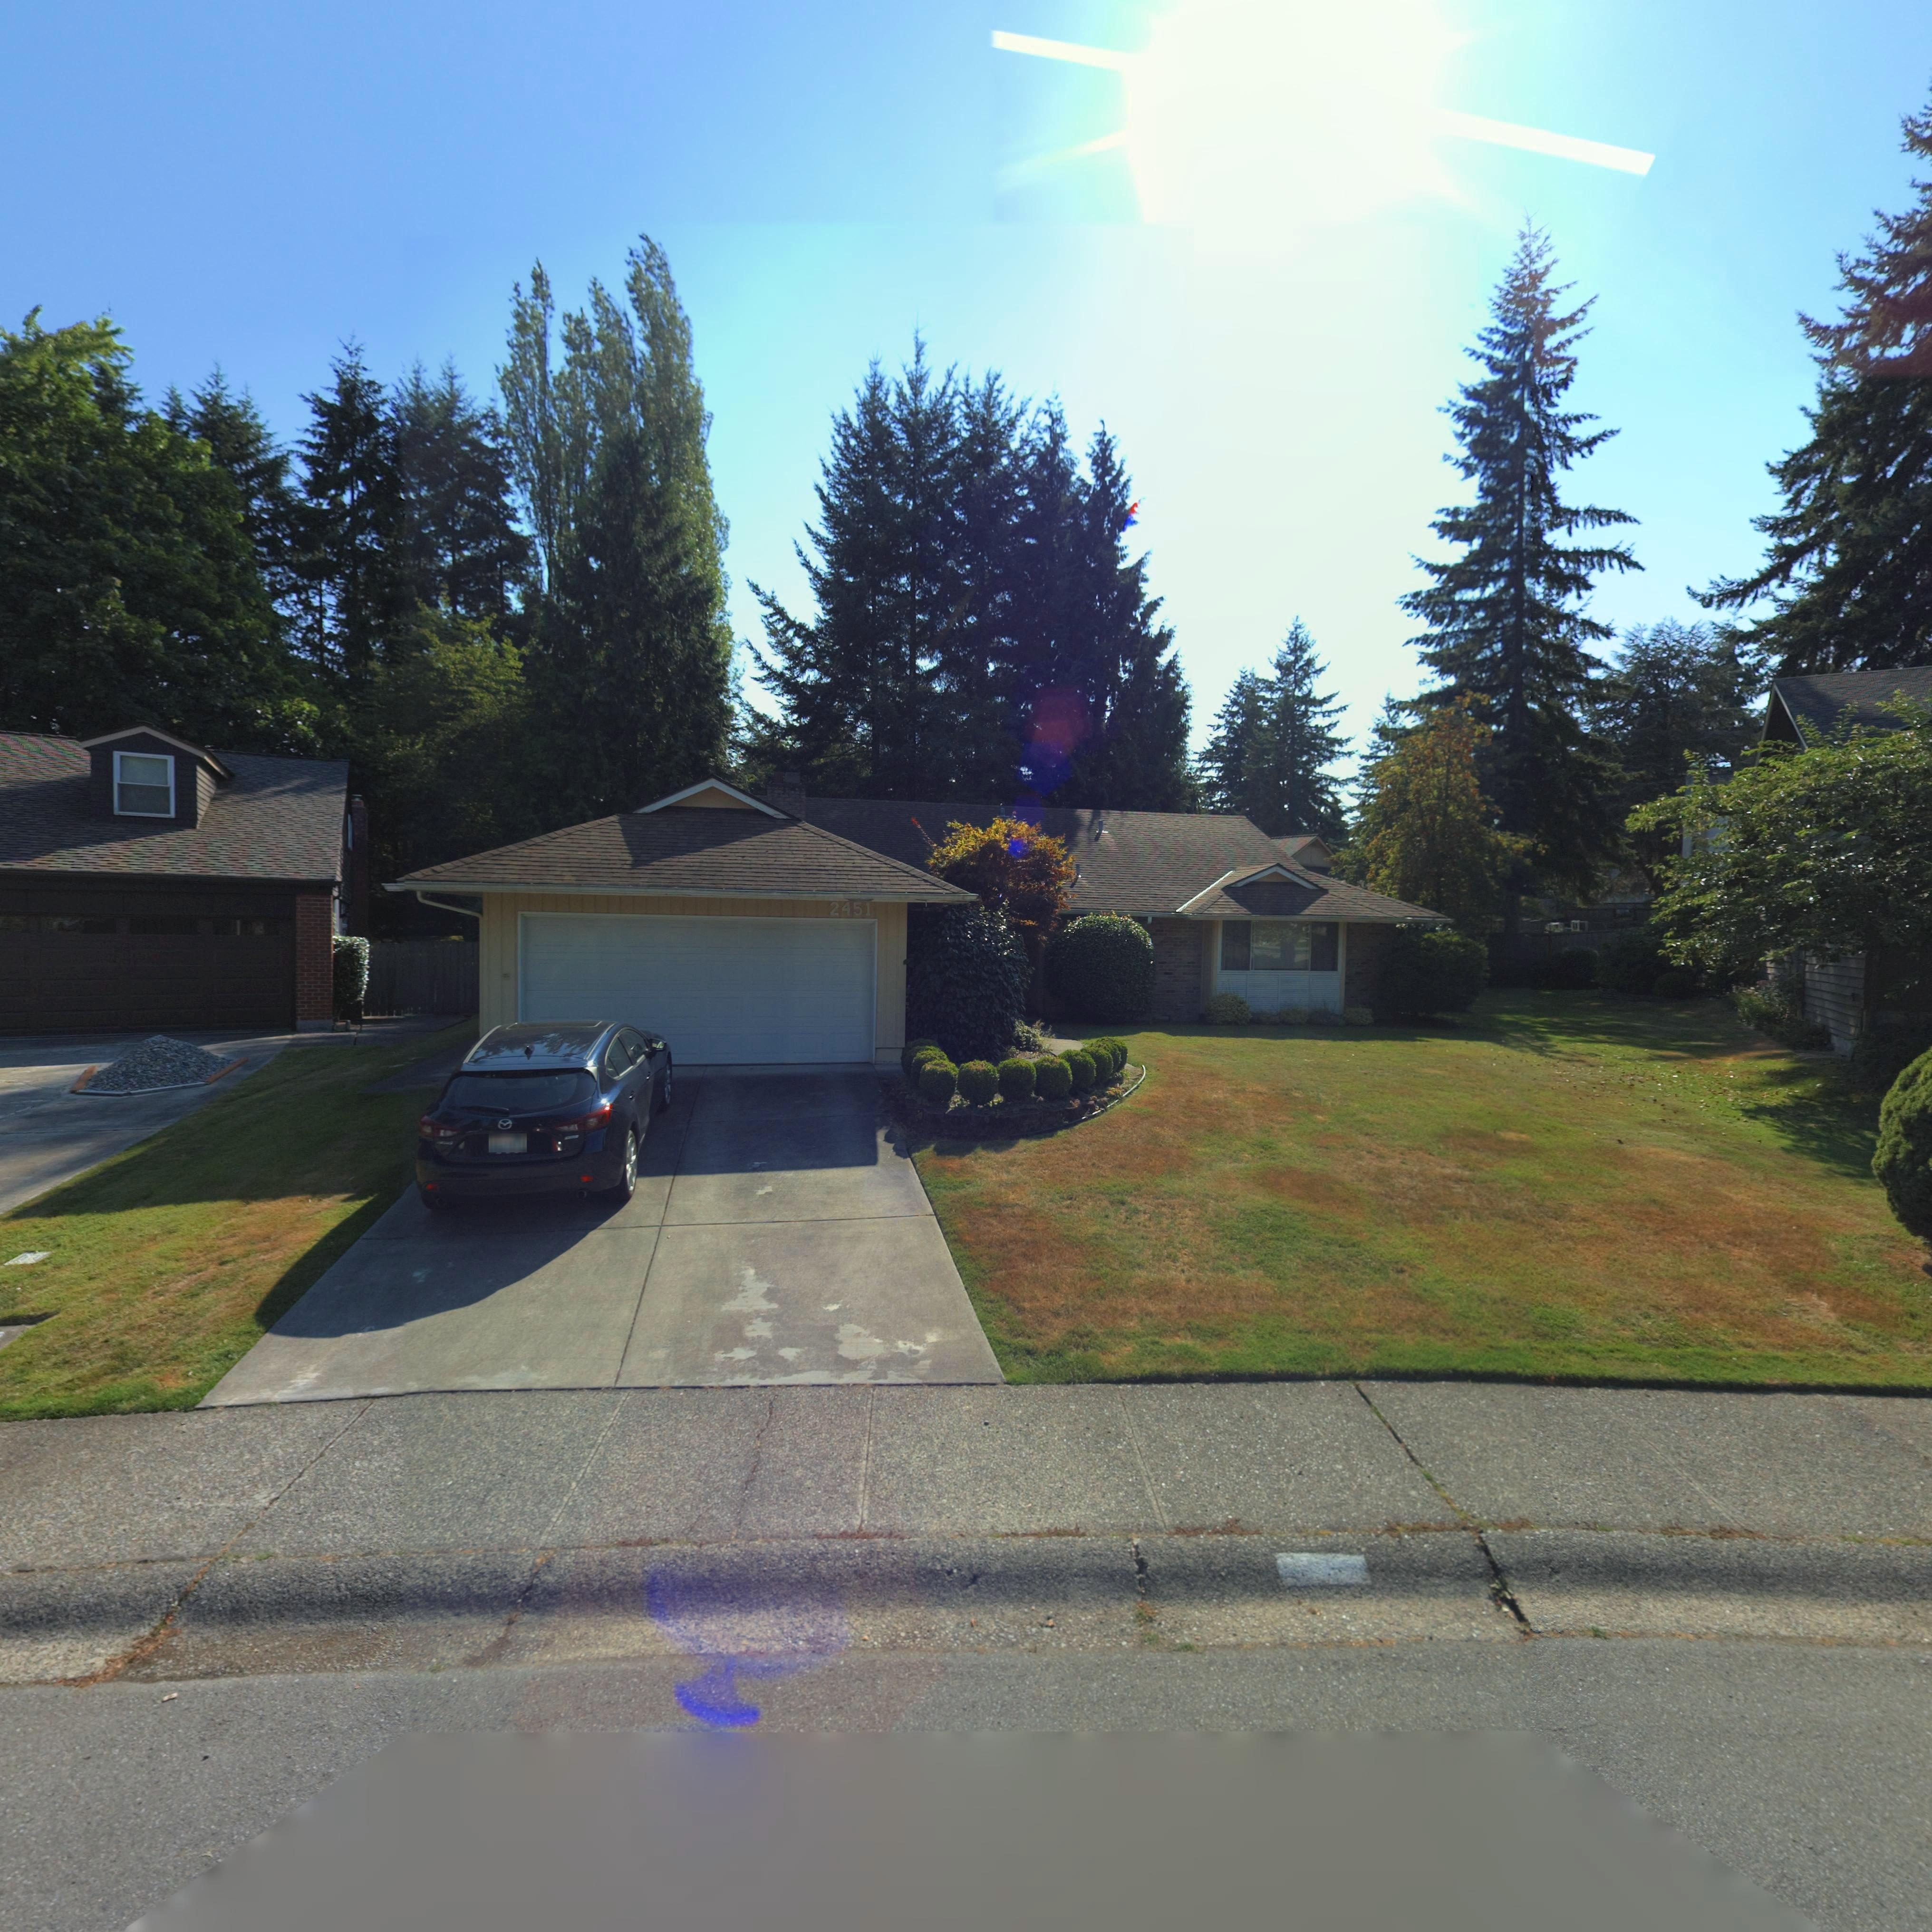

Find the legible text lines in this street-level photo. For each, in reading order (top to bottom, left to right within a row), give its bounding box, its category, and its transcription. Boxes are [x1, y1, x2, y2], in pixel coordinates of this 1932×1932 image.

[830, 900, 873, 918] StreetNumber: 2451